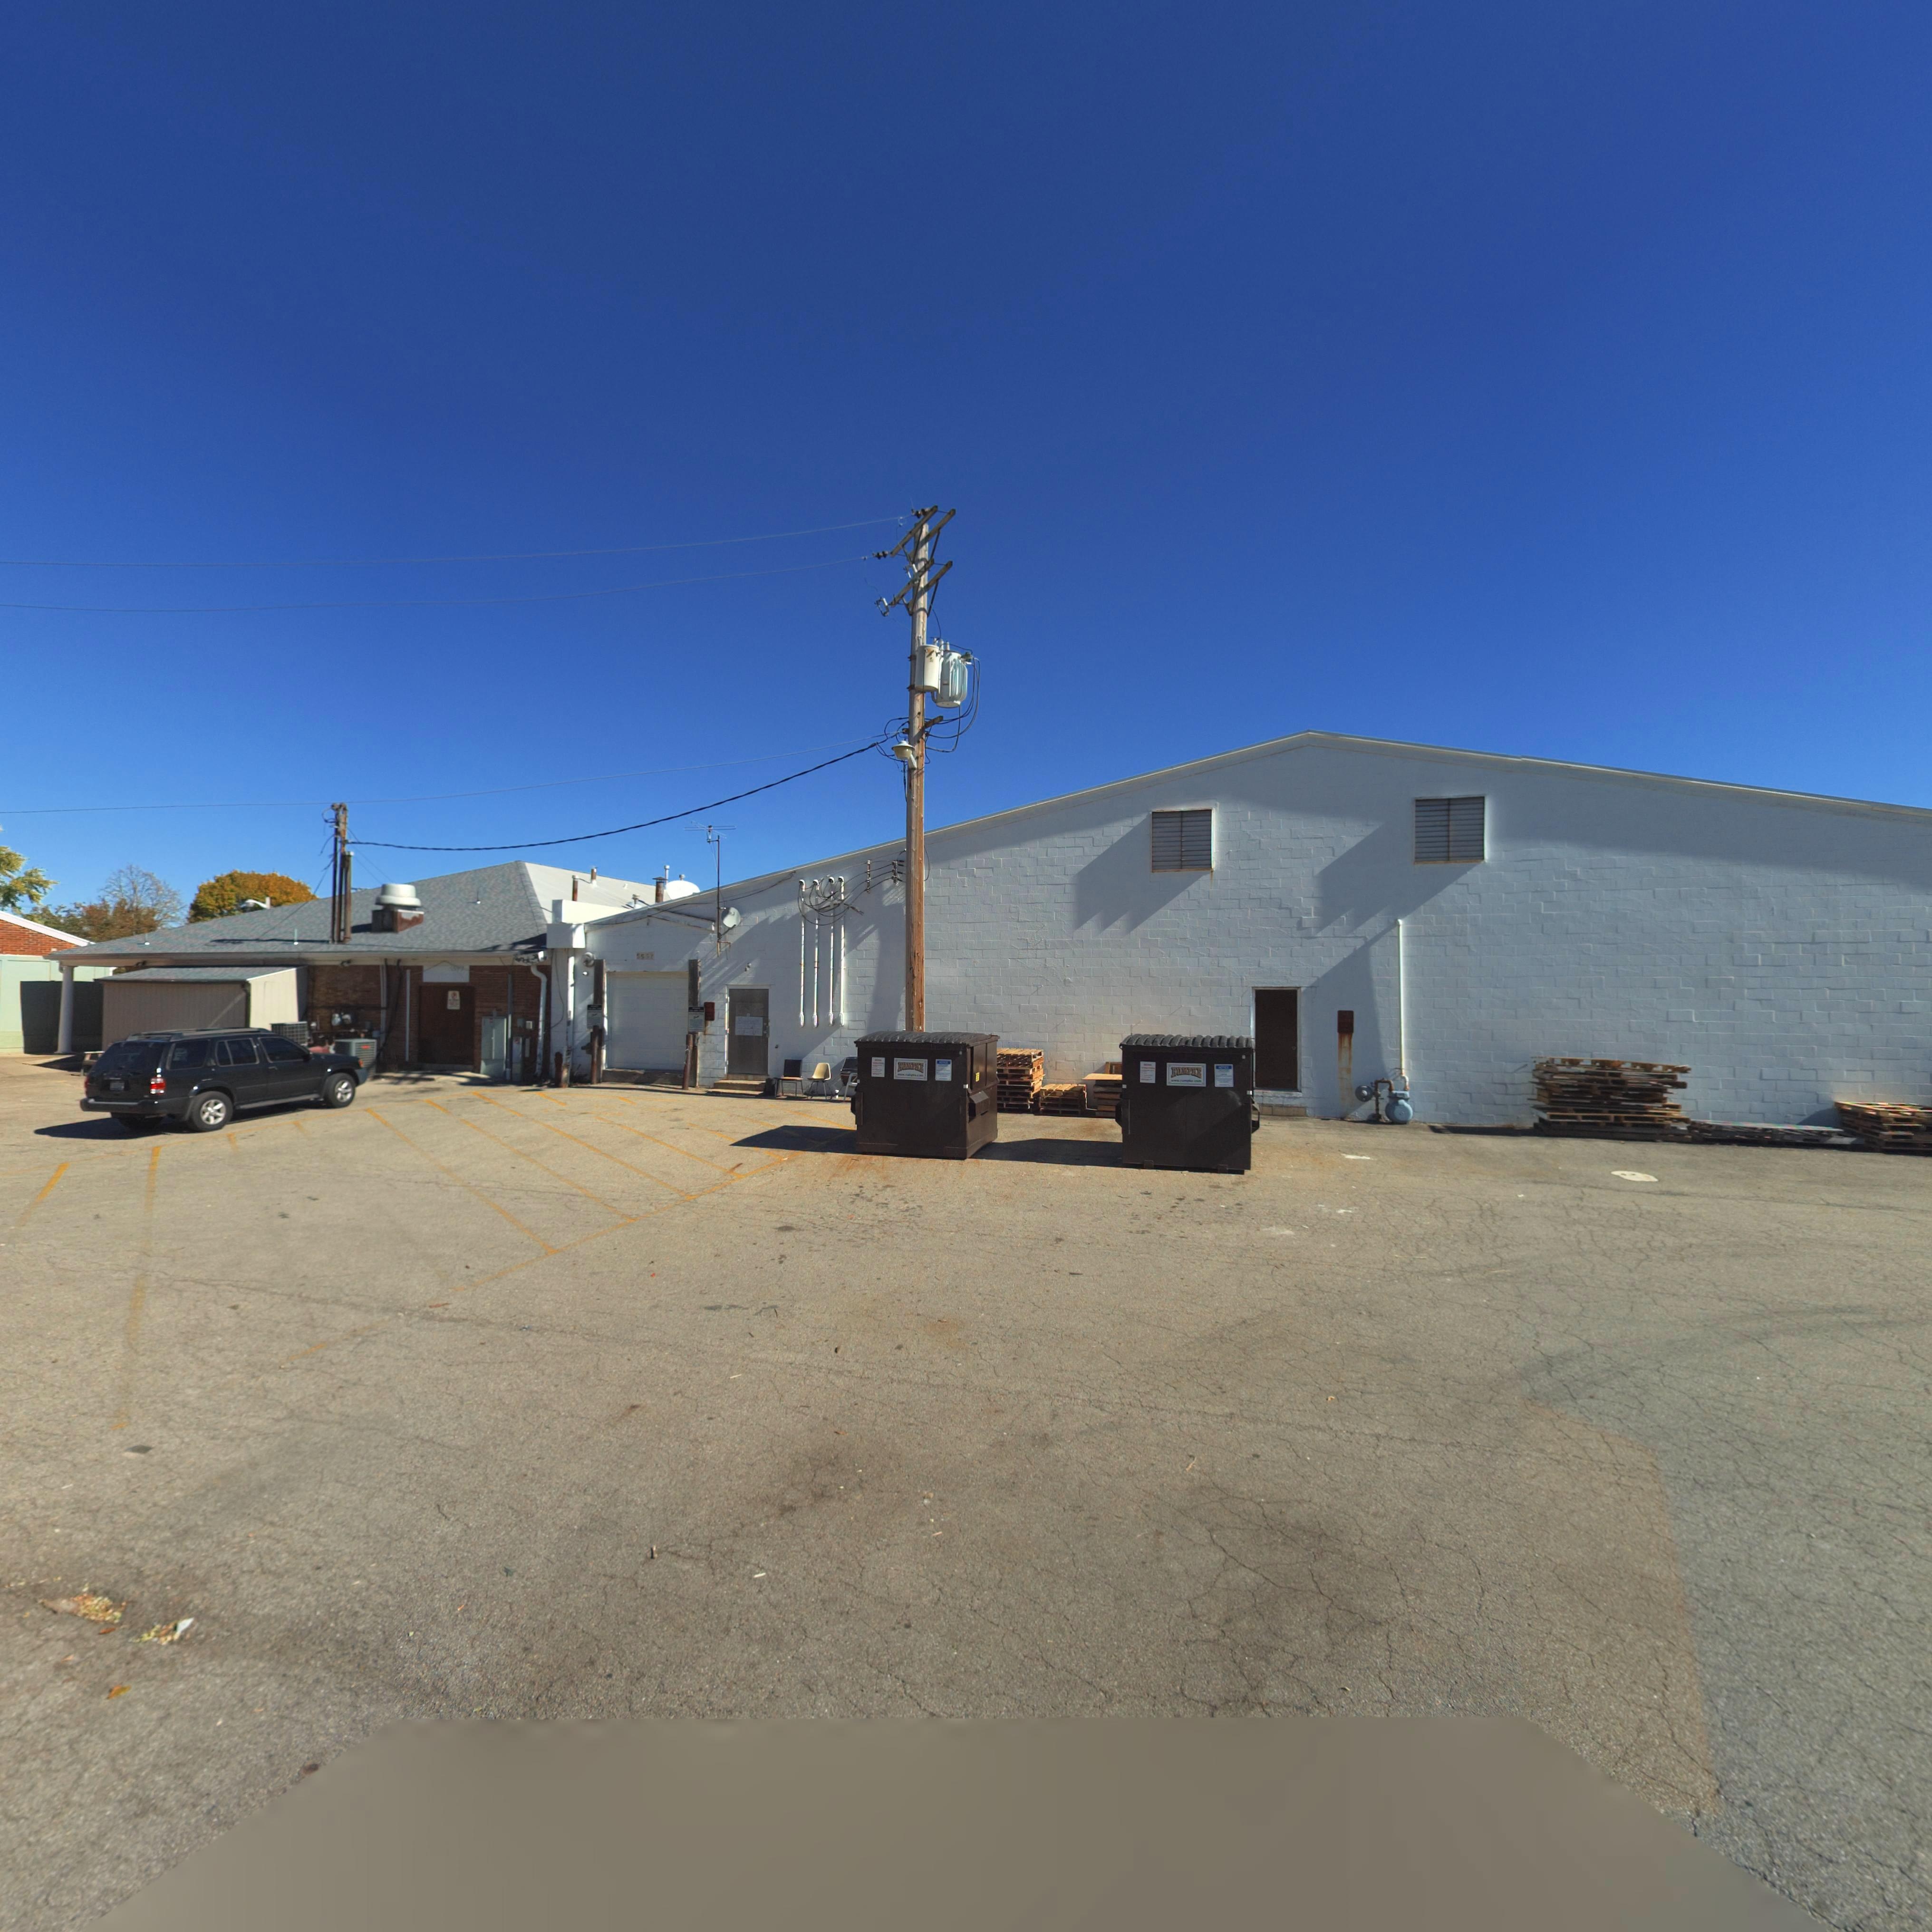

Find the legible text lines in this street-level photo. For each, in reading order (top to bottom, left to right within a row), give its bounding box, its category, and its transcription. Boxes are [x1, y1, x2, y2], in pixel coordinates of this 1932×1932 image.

[636, 953, 654, 960] StreetNumber: 55**